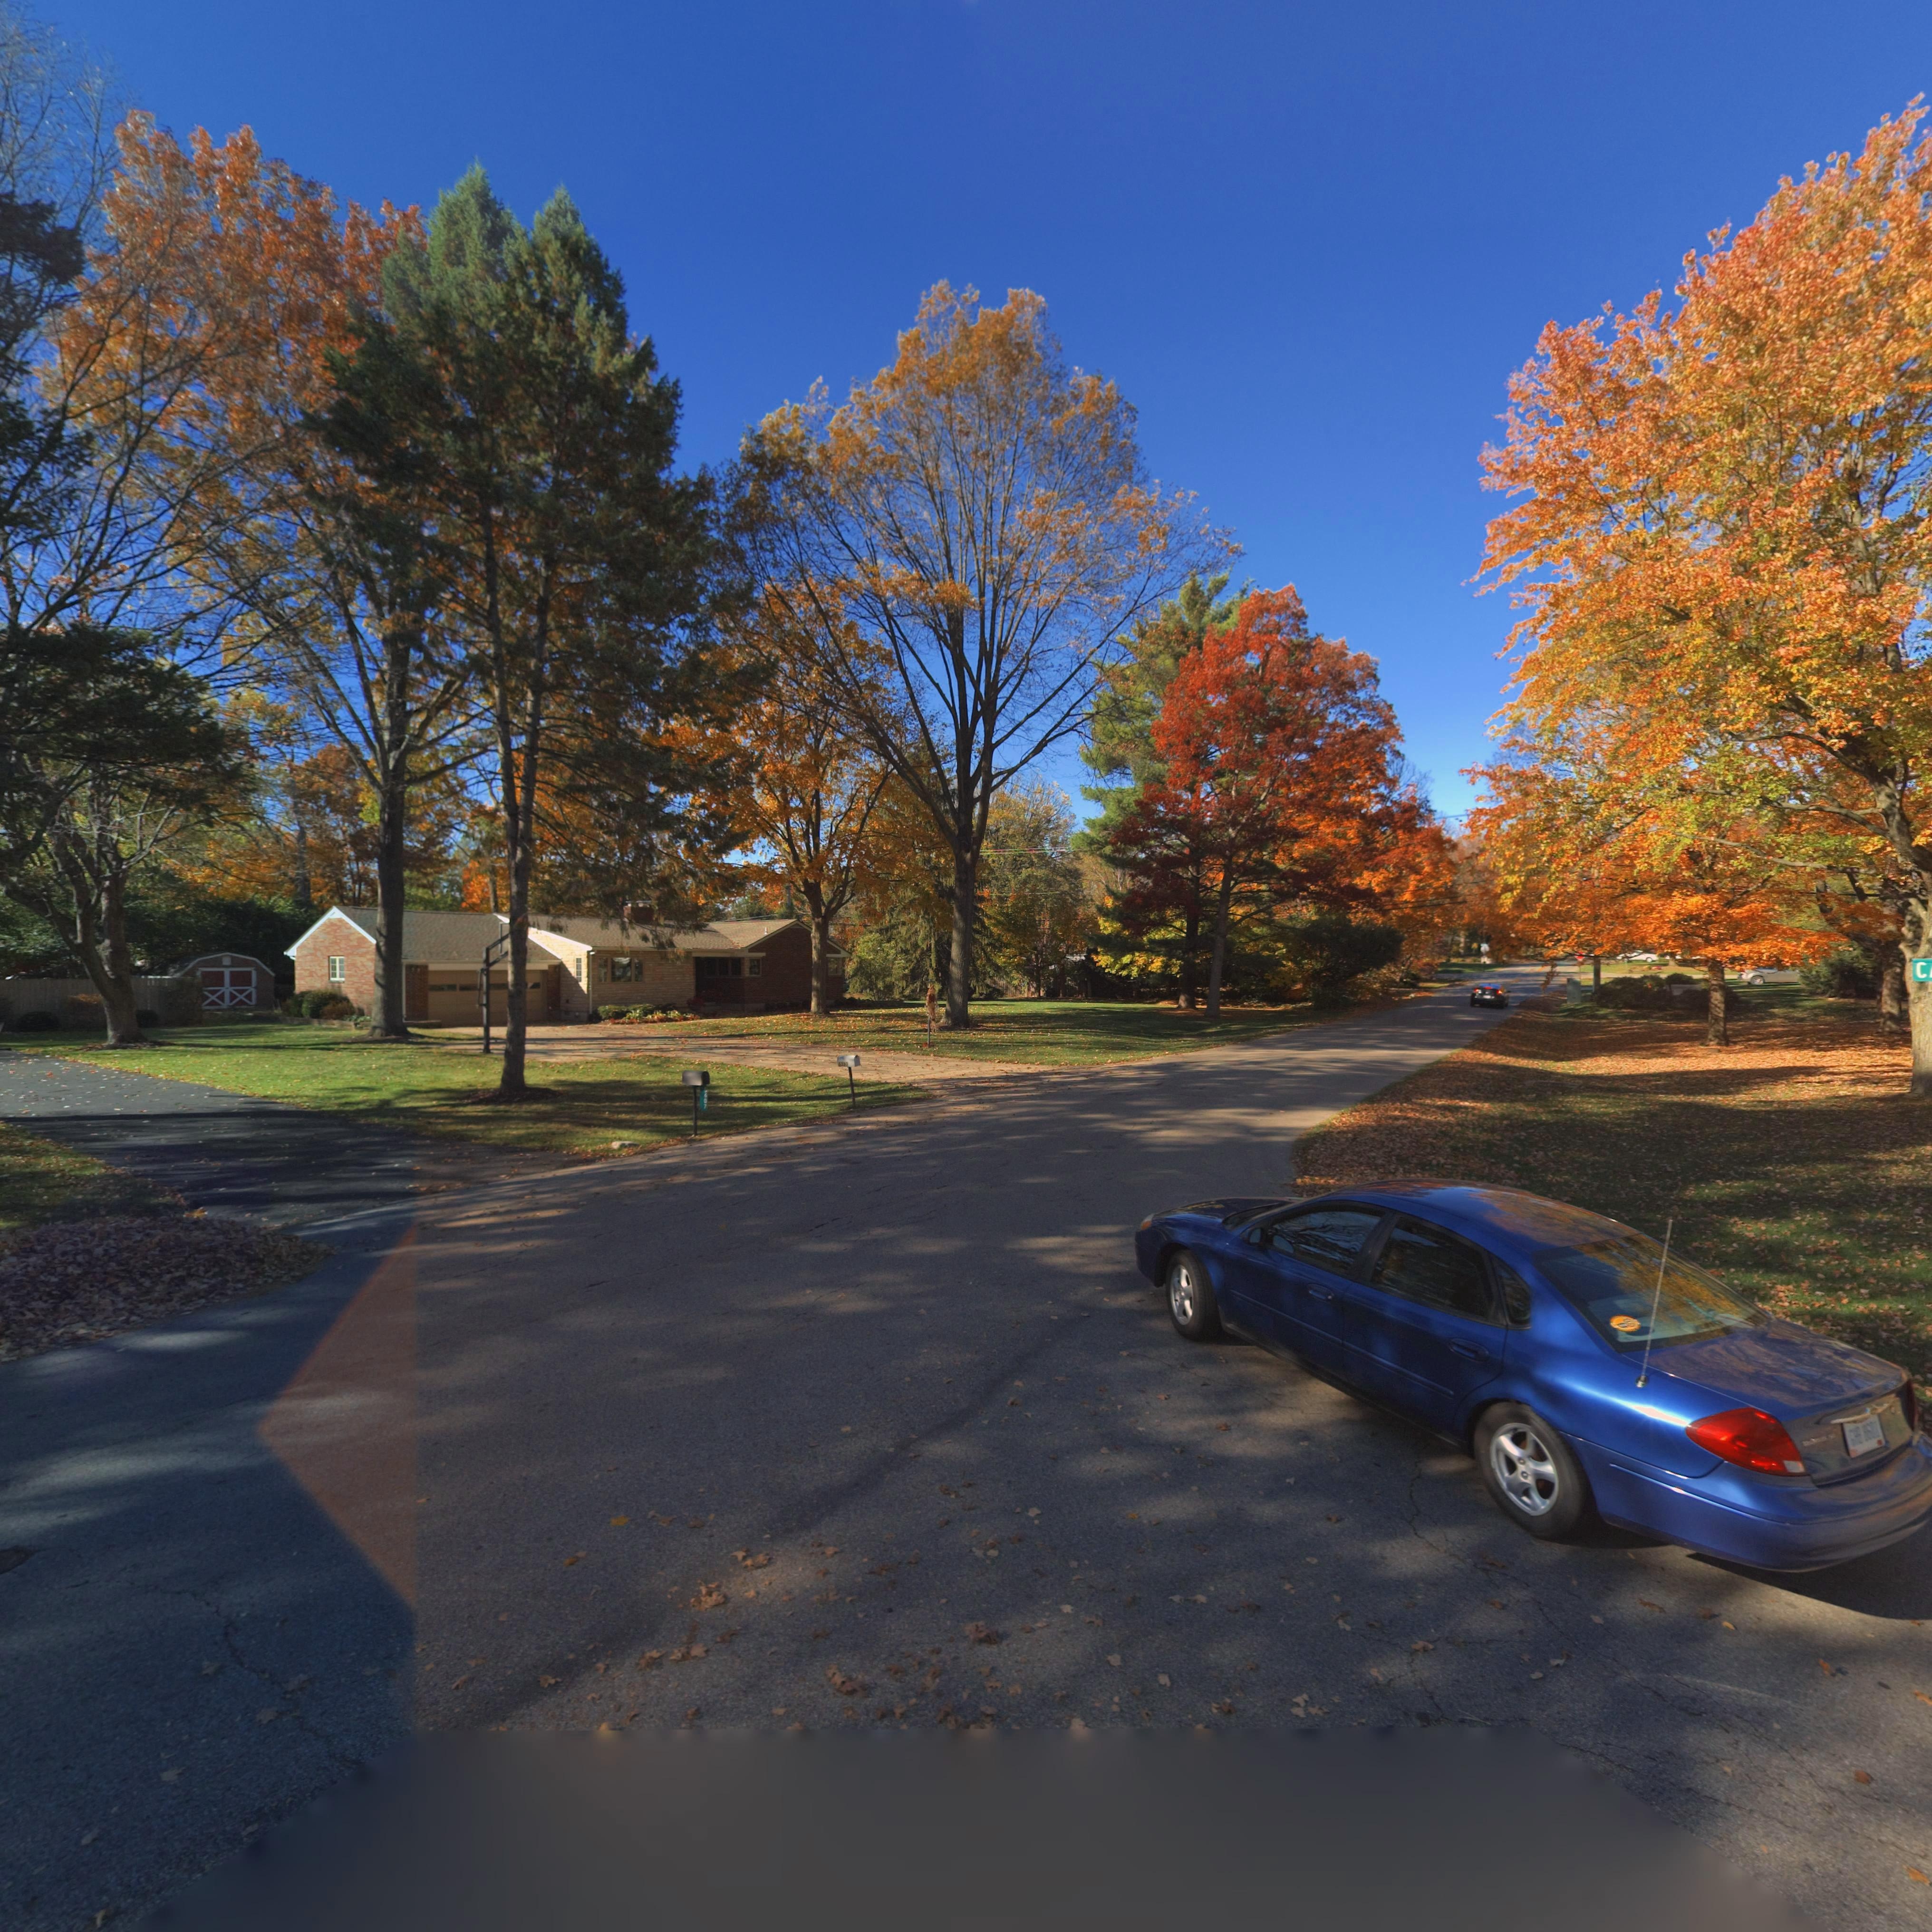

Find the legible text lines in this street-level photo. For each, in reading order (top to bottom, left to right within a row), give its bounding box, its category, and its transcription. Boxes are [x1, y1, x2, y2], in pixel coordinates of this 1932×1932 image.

[838, 1061, 849, 1066] StreetNumber: 5**3
[703, 1087, 708, 1110] StreetNumber: 5607